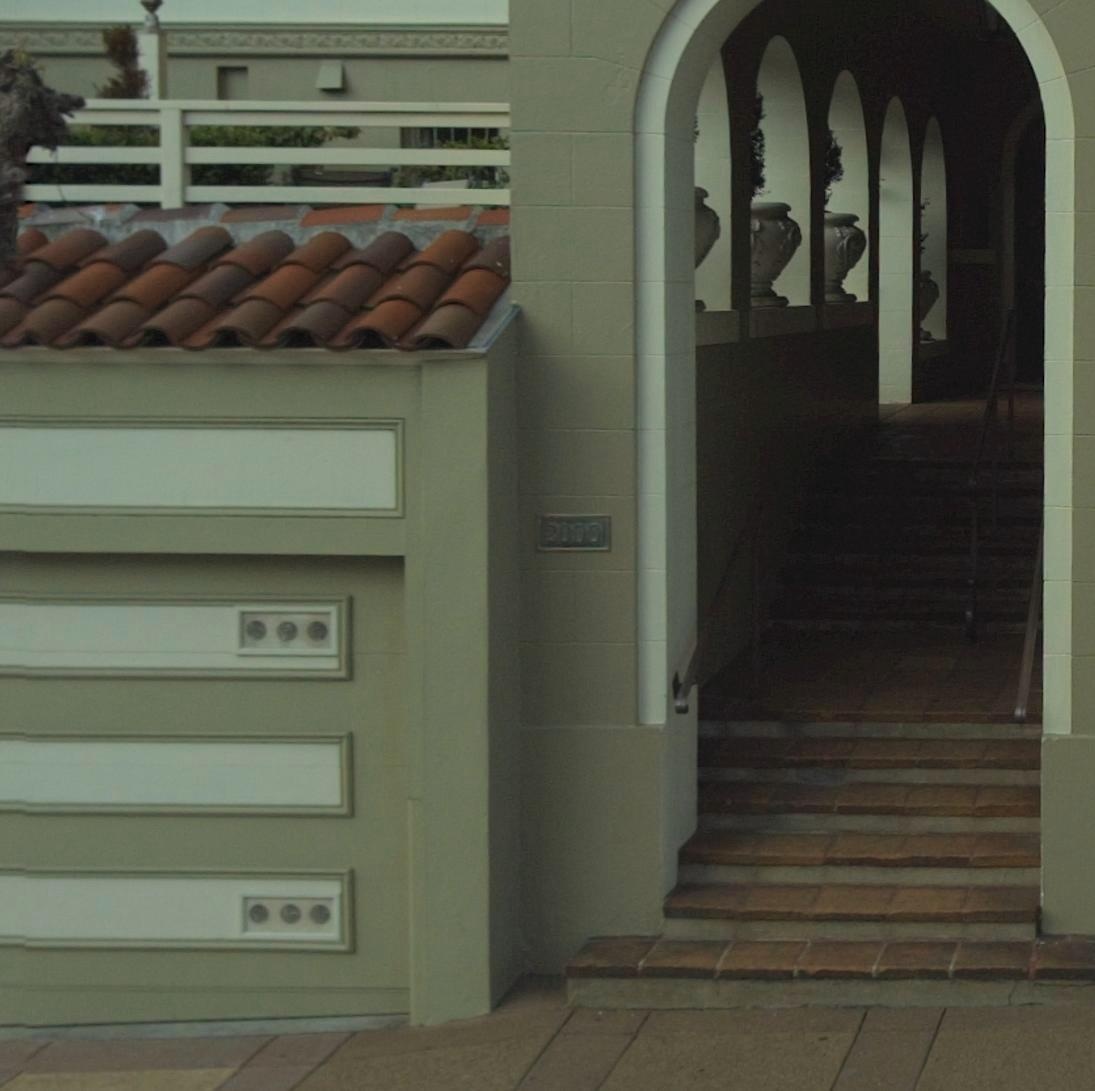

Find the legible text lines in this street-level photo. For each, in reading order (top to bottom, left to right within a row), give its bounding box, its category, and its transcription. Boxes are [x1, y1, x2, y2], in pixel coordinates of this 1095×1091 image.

[542, 521, 604, 545] StreetNumber: 2000